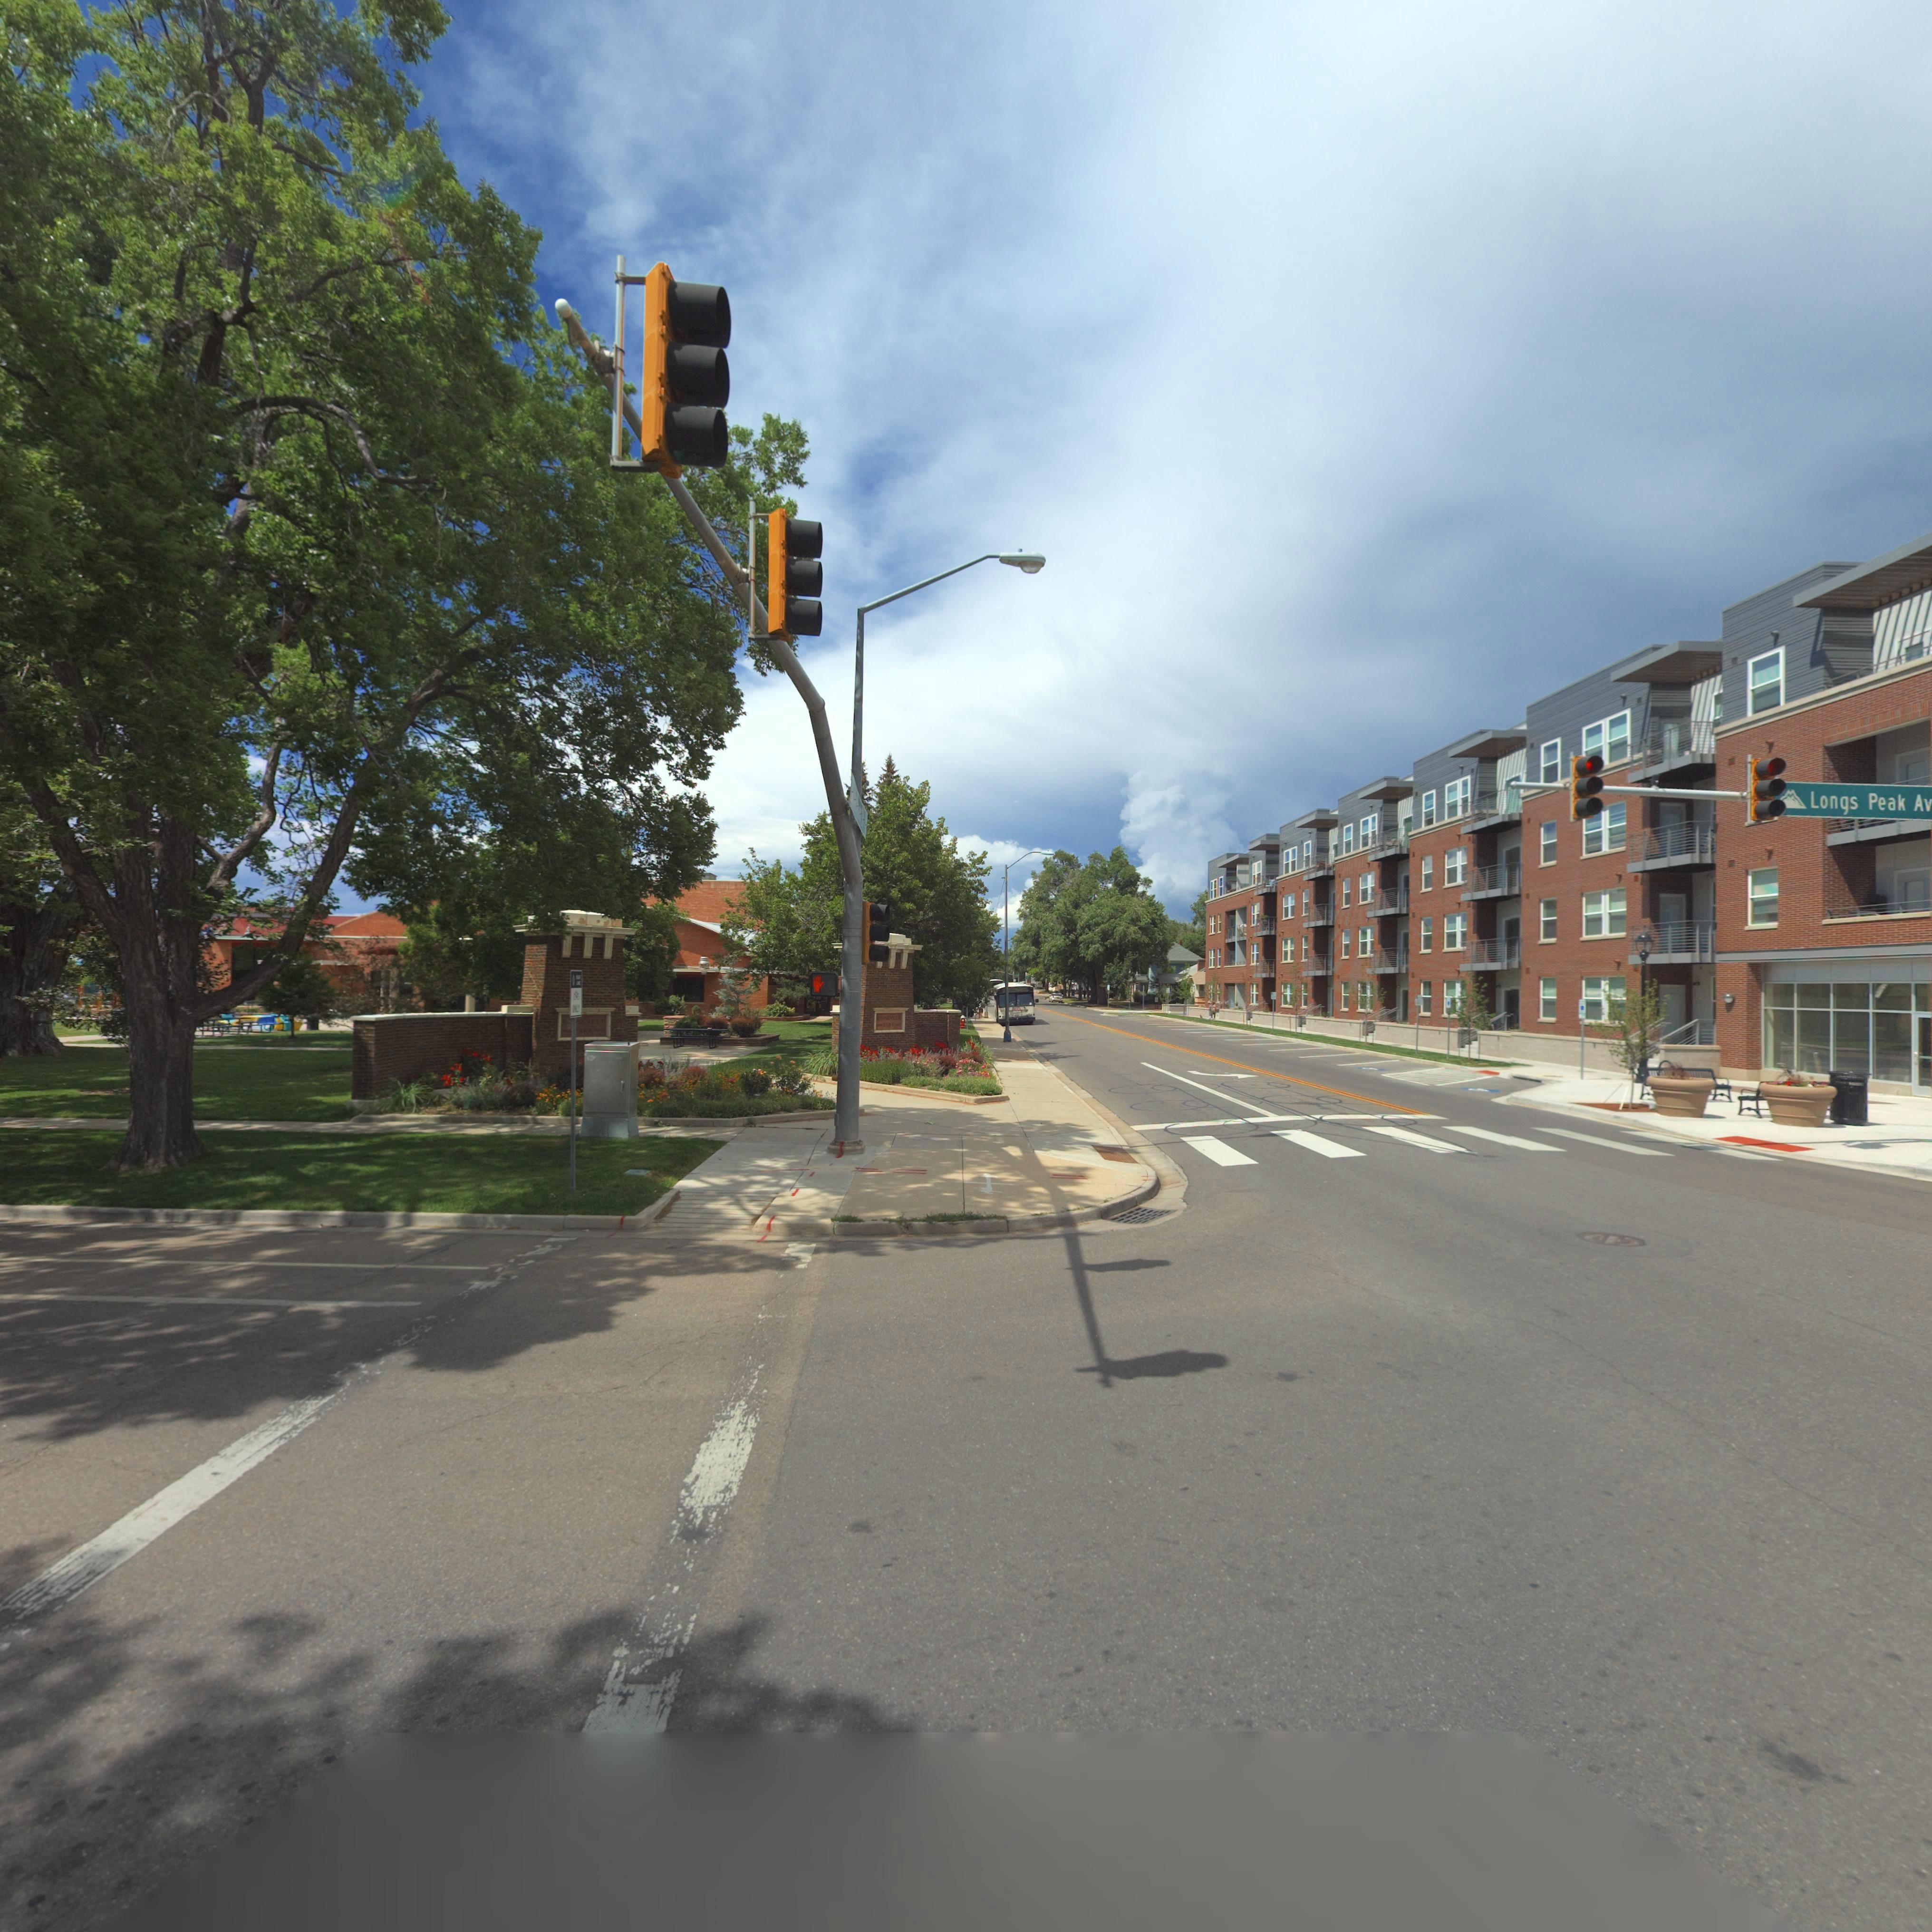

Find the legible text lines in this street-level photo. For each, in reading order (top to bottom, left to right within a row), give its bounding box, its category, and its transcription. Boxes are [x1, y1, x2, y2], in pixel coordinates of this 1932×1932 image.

[1810, 791, 1931, 815] StreetName: Longs Peak Av